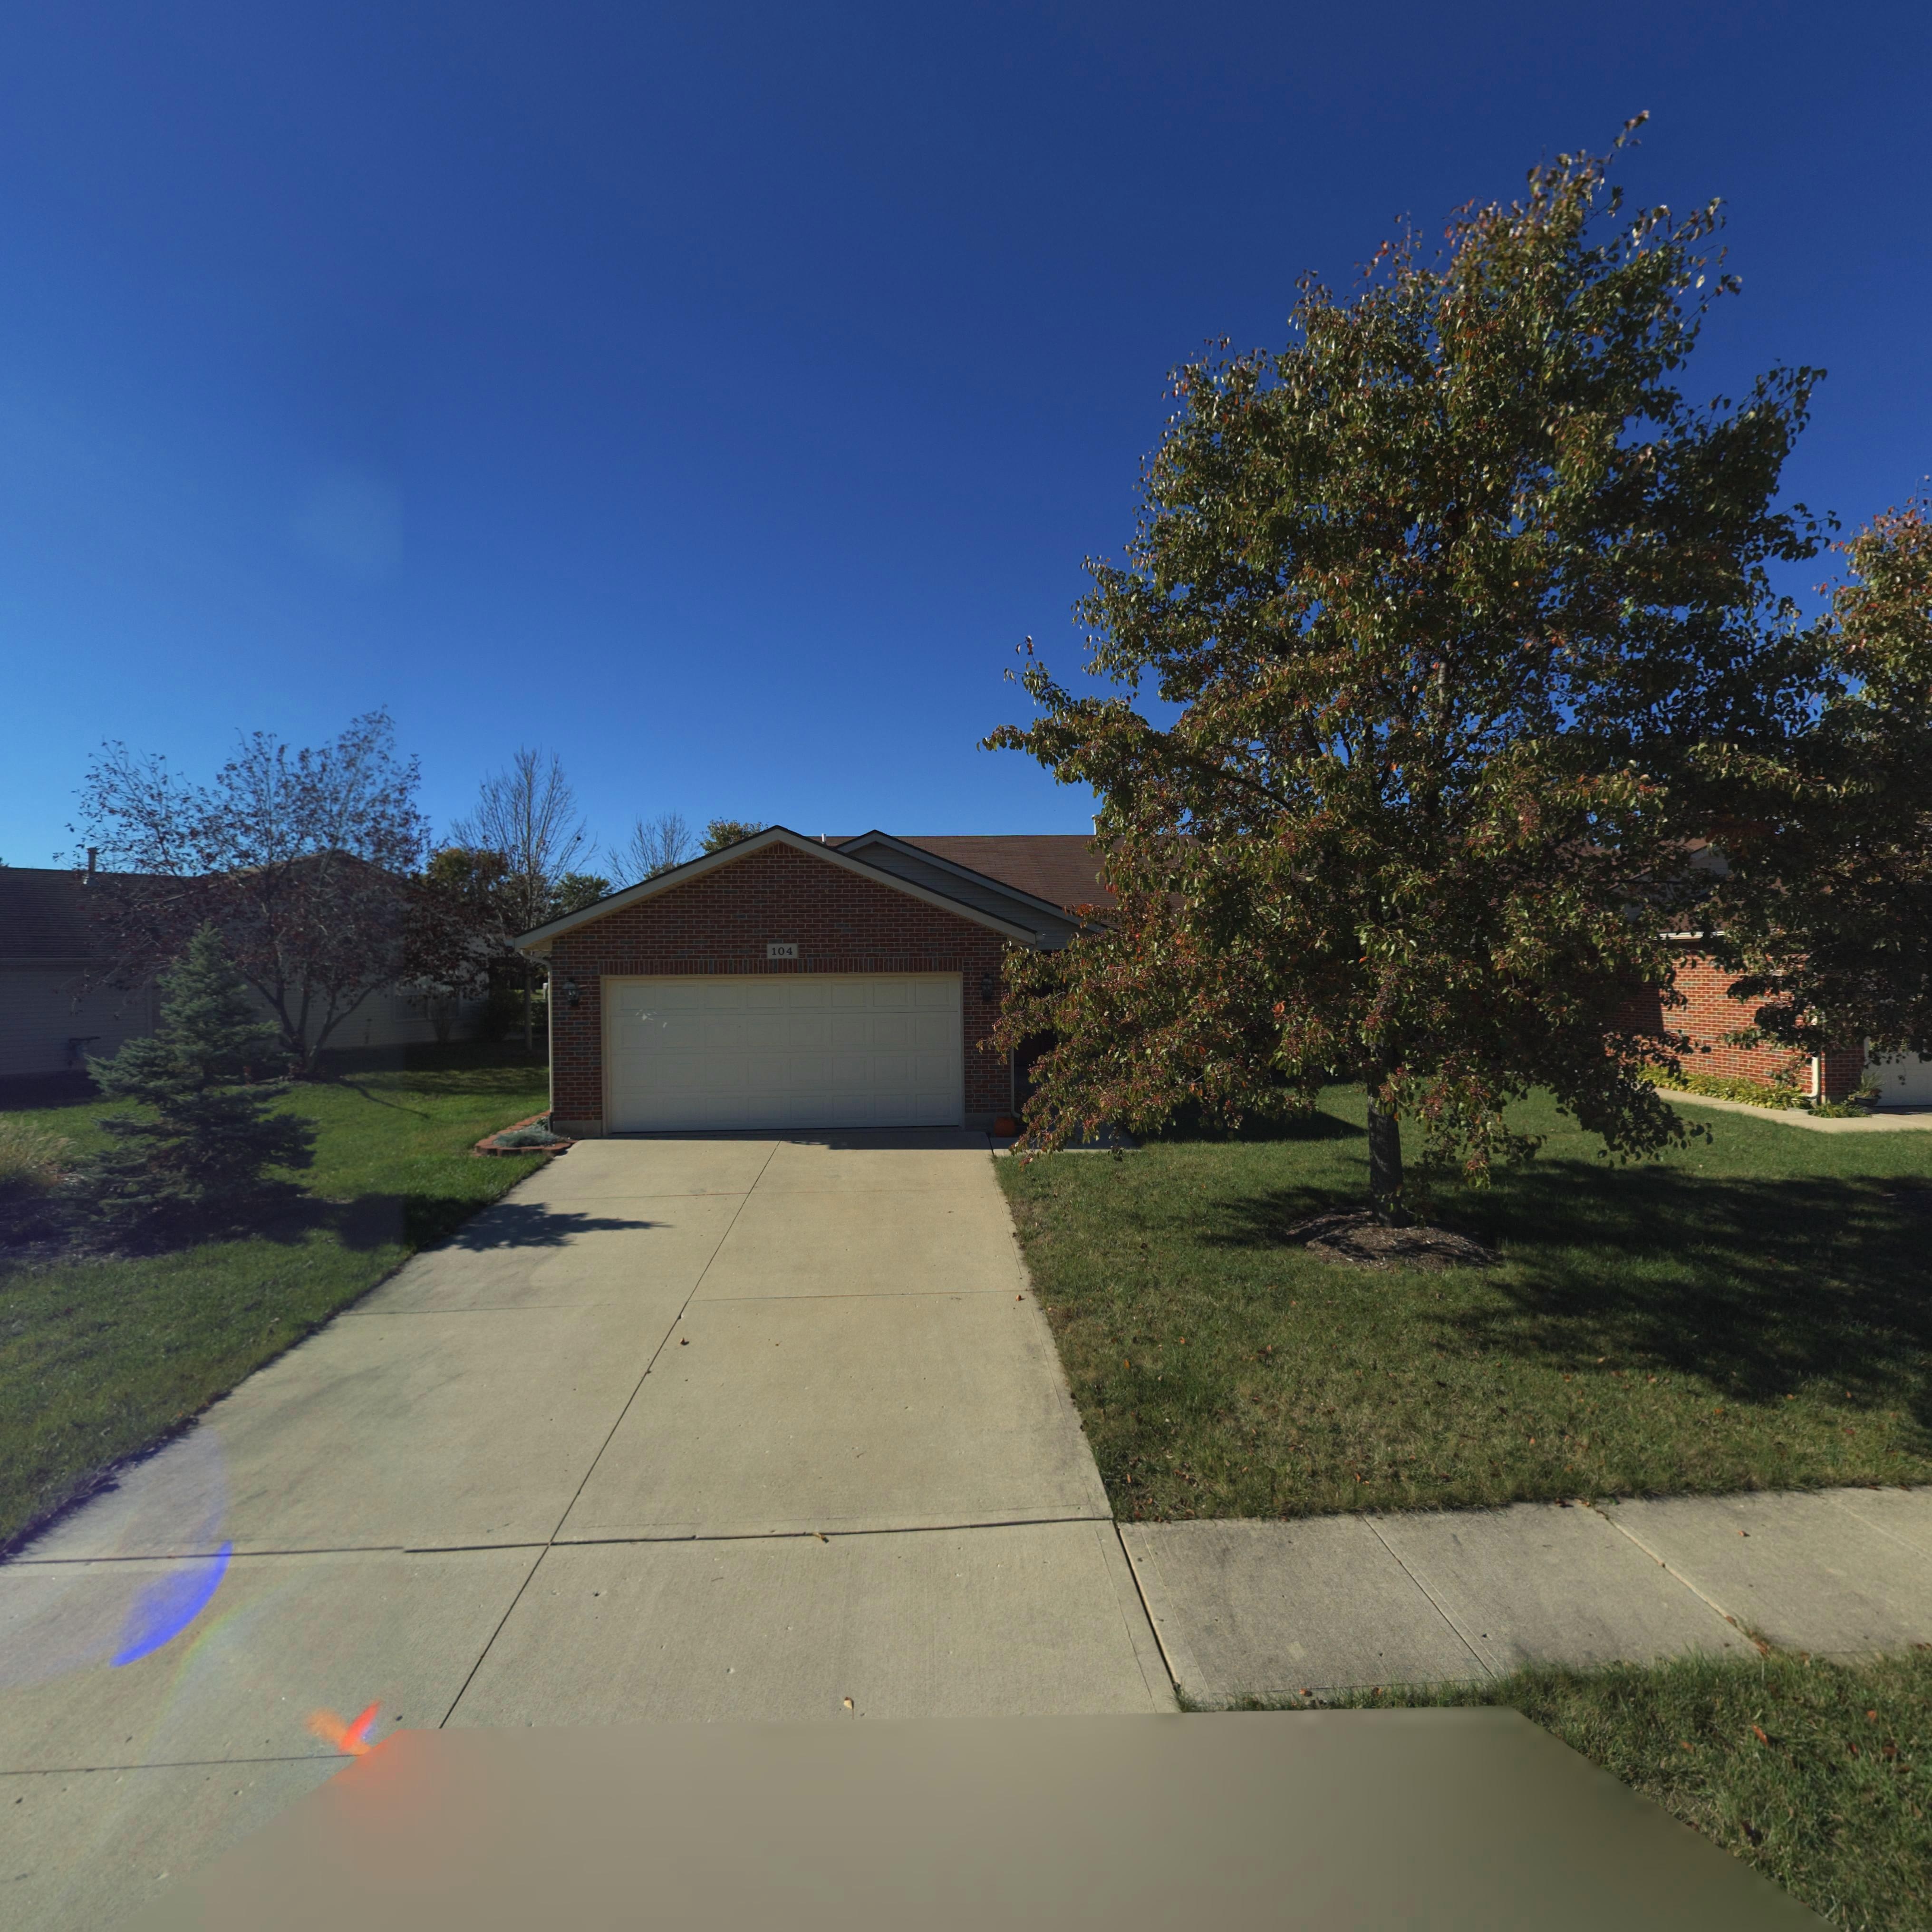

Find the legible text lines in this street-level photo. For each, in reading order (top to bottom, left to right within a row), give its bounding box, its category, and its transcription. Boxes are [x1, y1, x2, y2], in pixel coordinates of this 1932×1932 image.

[772, 946, 793, 956] StreetNumber: 104